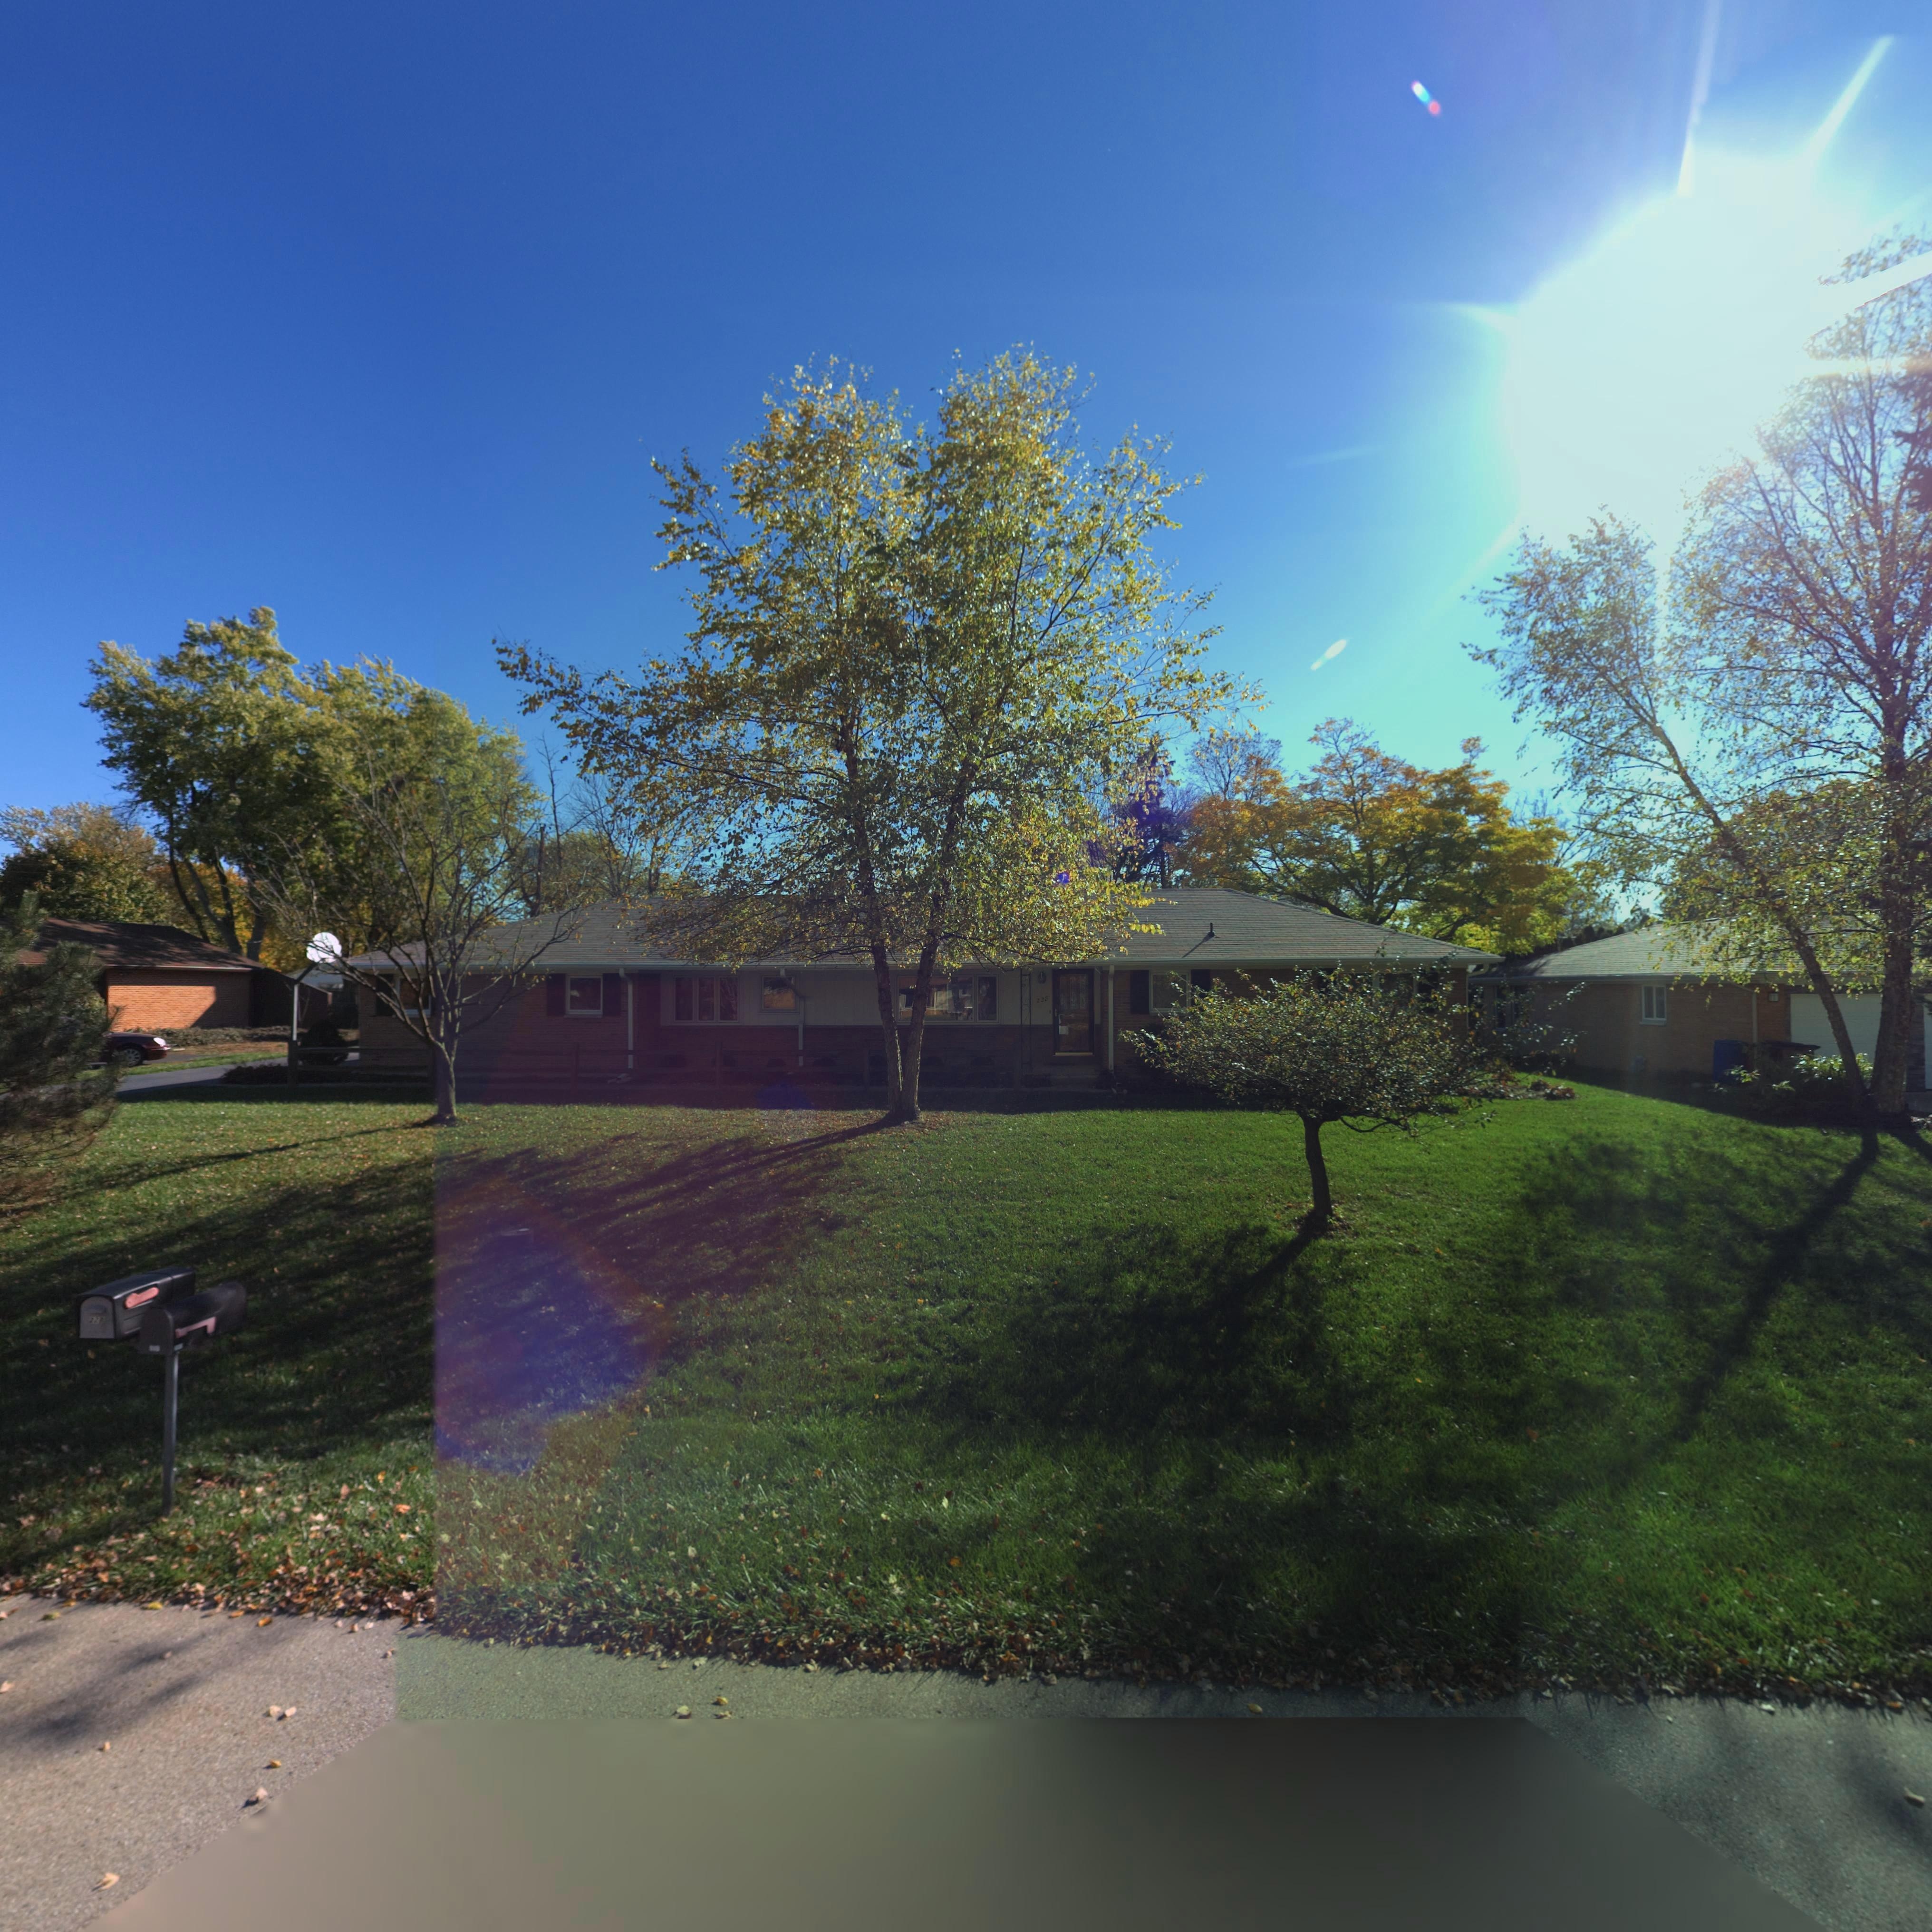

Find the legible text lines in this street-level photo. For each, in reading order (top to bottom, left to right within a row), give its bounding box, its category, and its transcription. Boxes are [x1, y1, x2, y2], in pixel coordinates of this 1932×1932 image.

[1035, 995, 1049, 1004] StreetNumber: 228
[87, 1316, 106, 1324] StreetNumber: 228